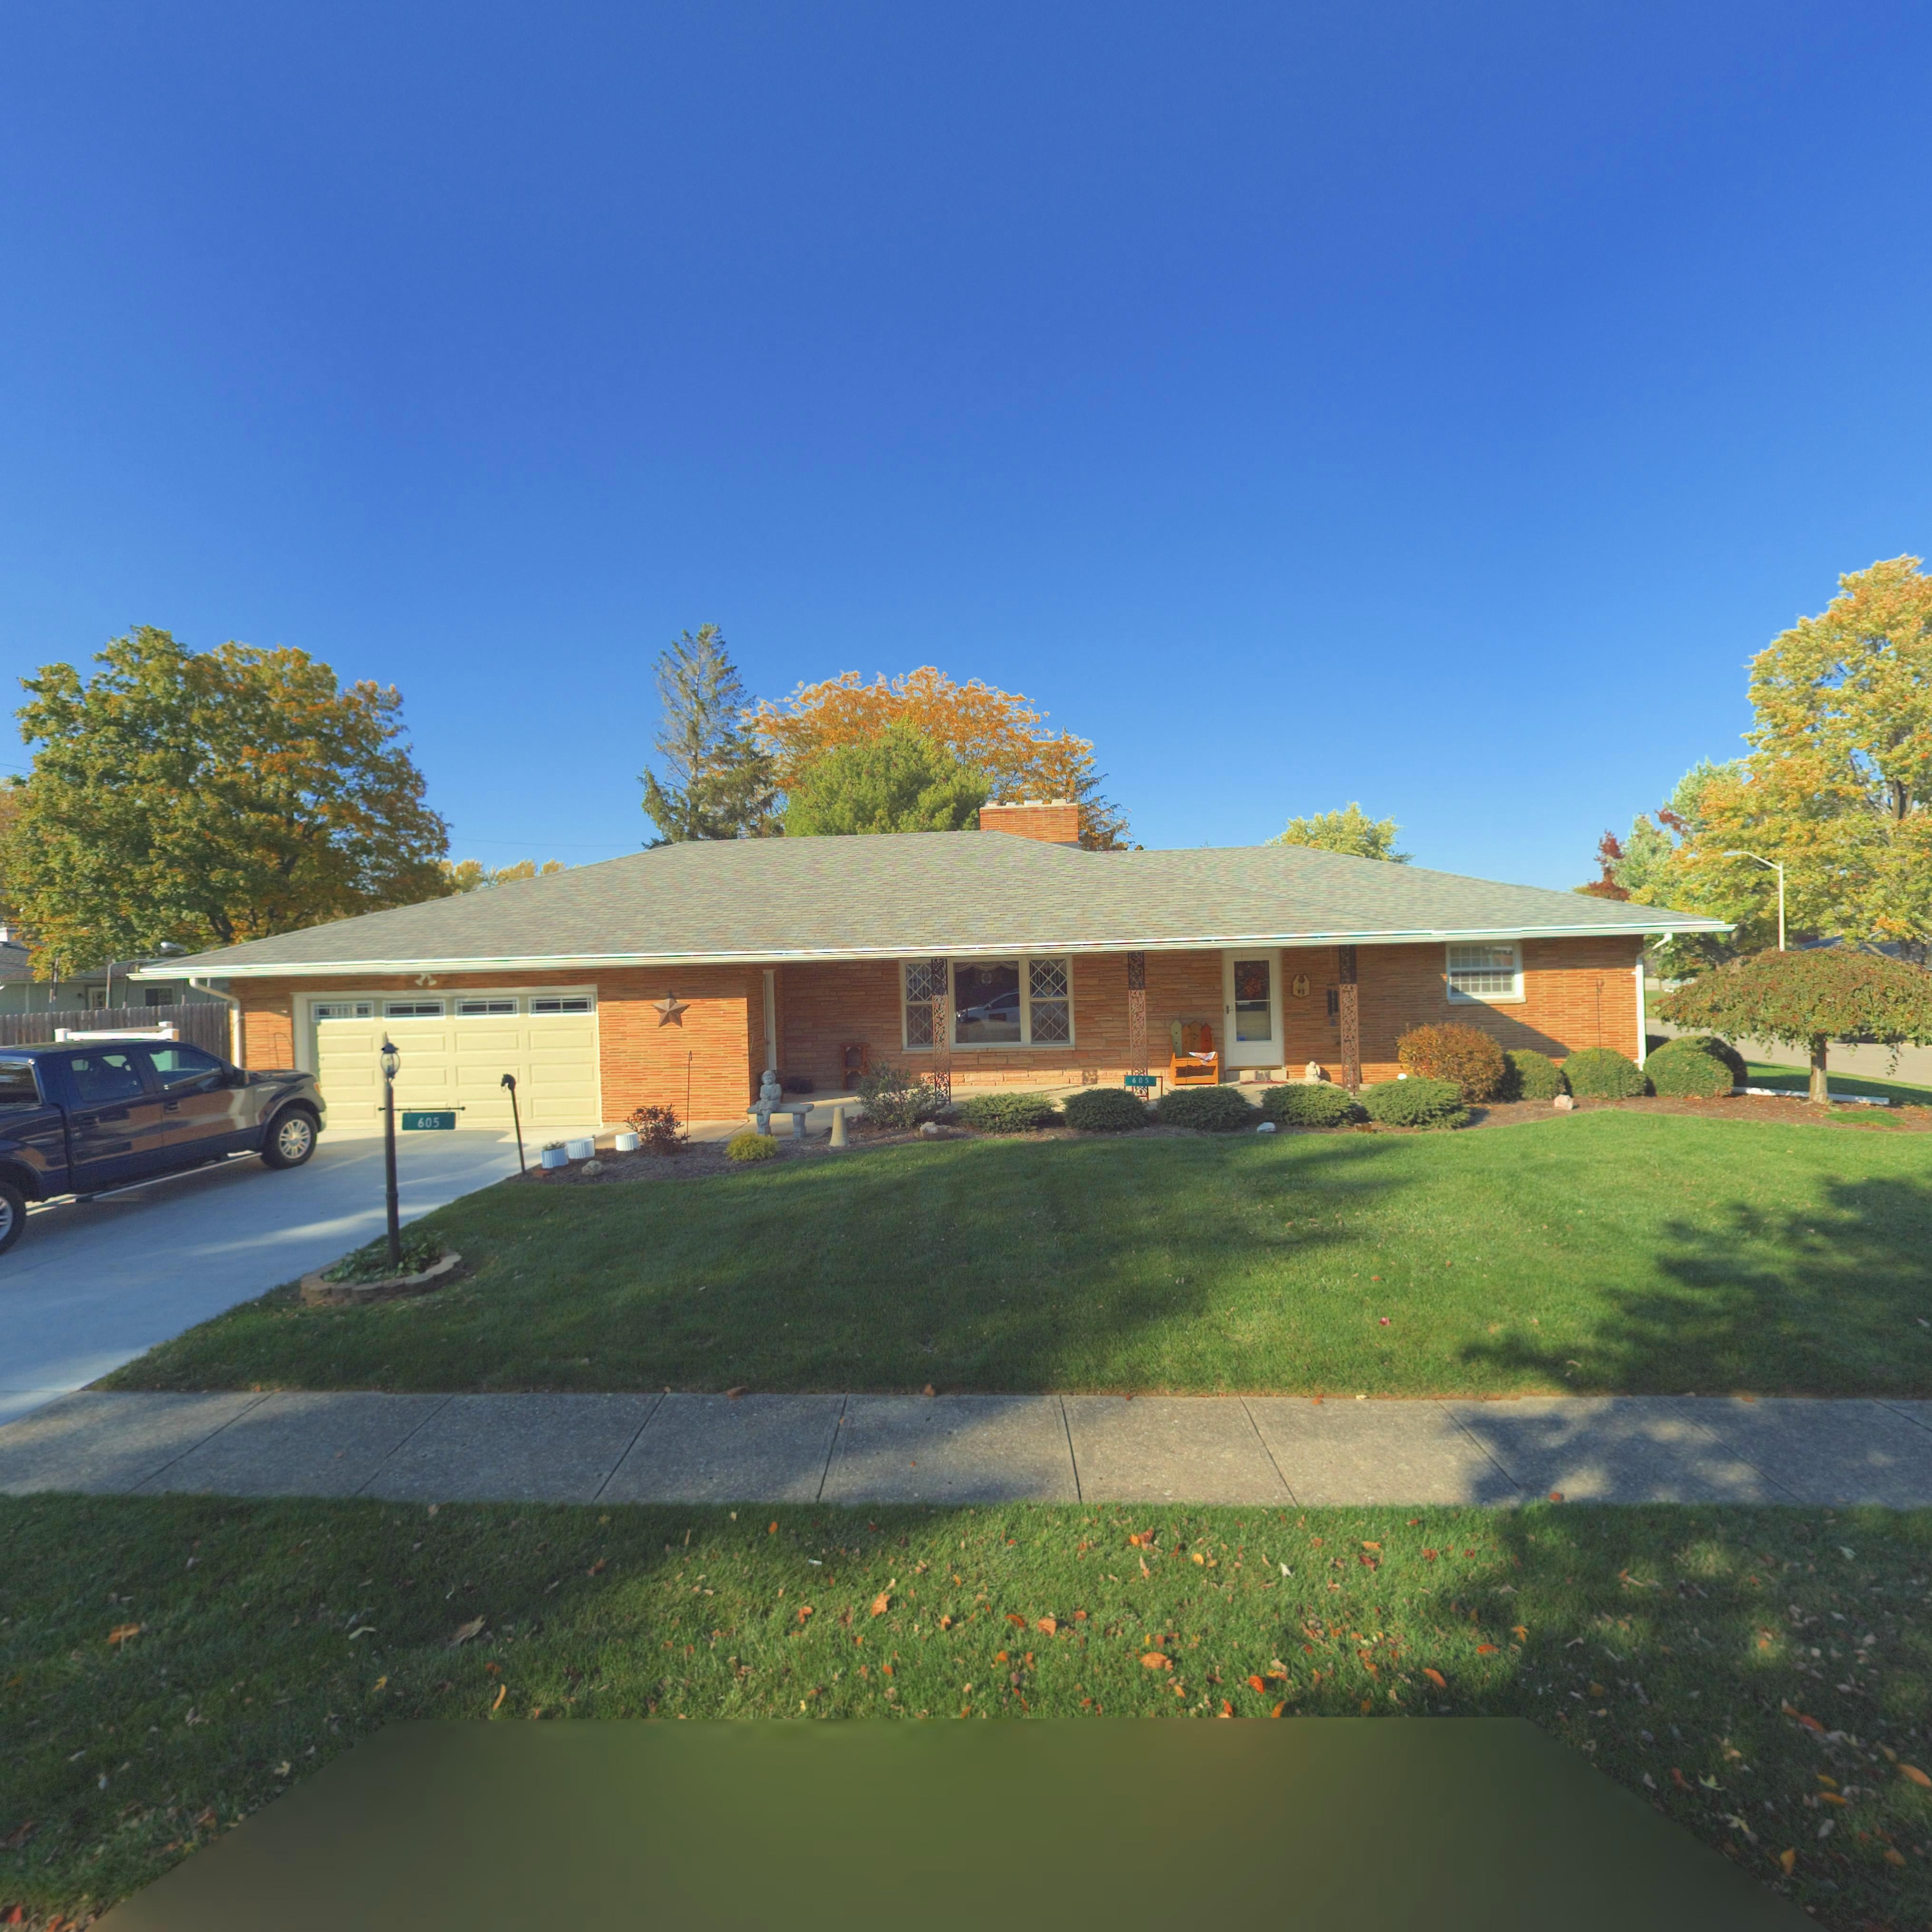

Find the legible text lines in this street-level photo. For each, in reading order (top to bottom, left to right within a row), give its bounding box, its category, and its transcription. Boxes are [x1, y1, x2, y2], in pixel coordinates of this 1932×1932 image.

[1131, 1076, 1150, 1084] StreetNumber: 605
[416, 1116, 441, 1129] StreetNumber: 605